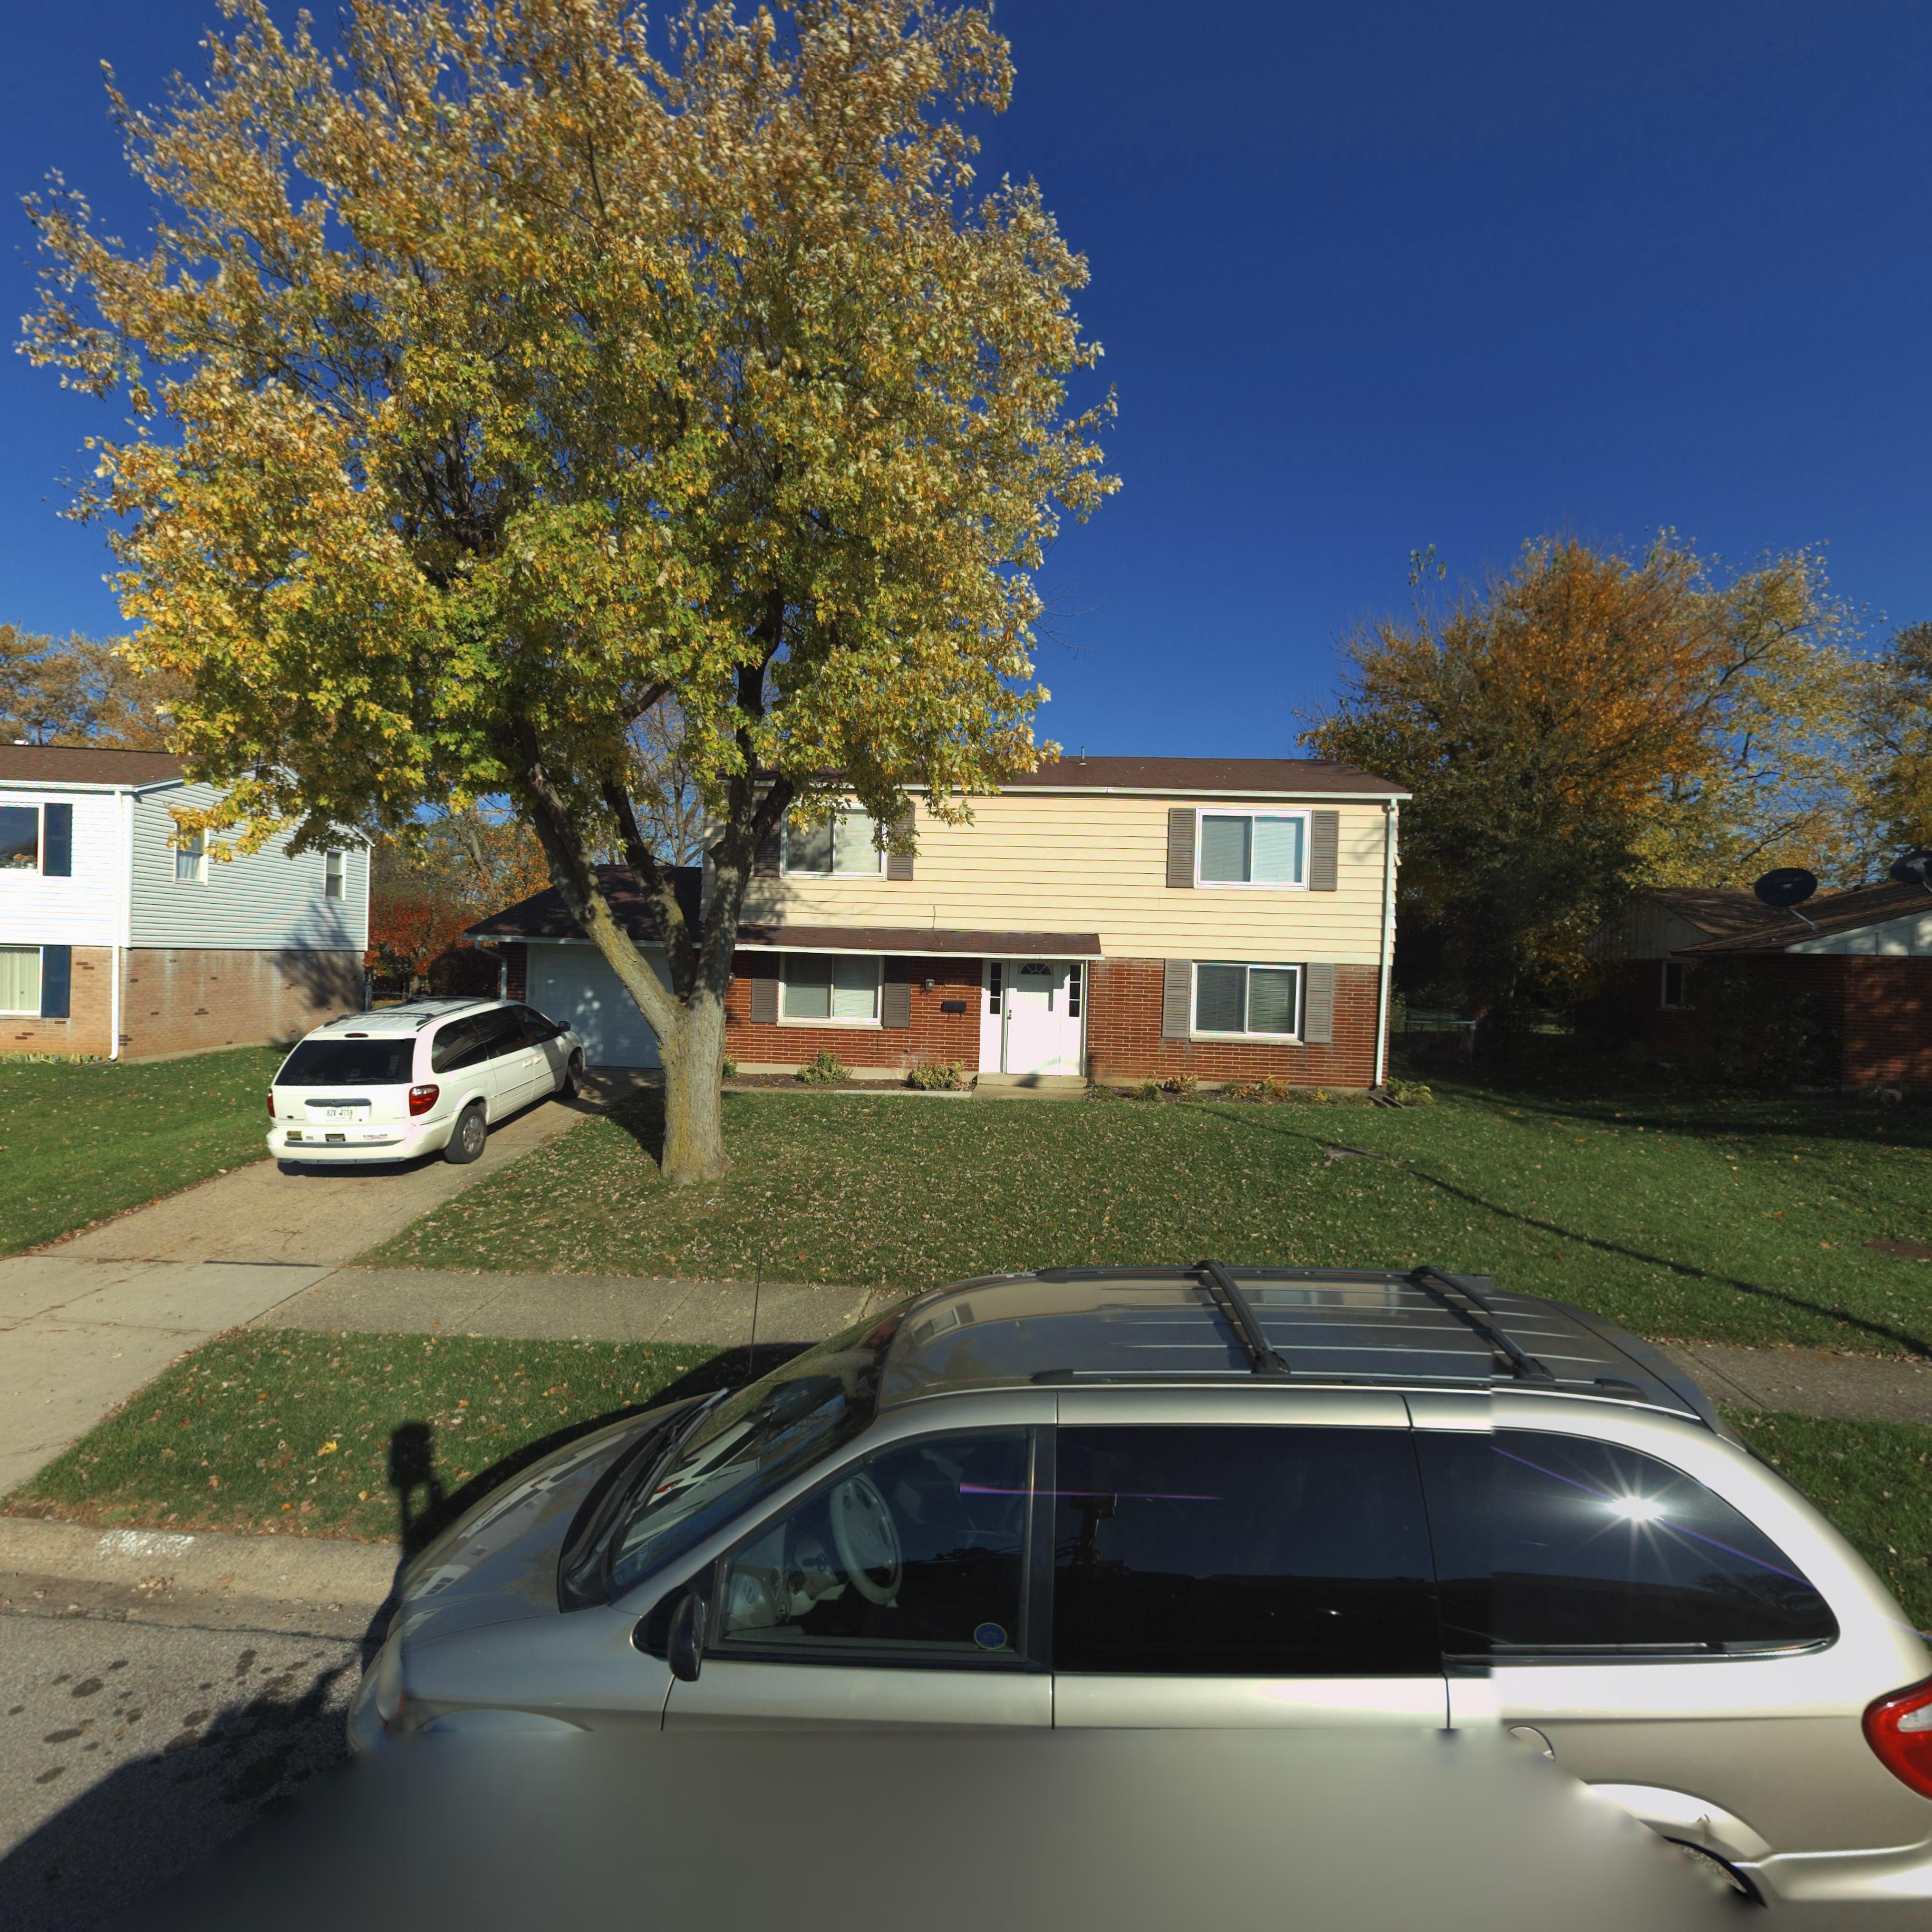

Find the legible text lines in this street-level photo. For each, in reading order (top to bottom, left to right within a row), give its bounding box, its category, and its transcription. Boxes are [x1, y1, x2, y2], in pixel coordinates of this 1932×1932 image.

[946, 979, 967, 986] StreetNumber: 7913